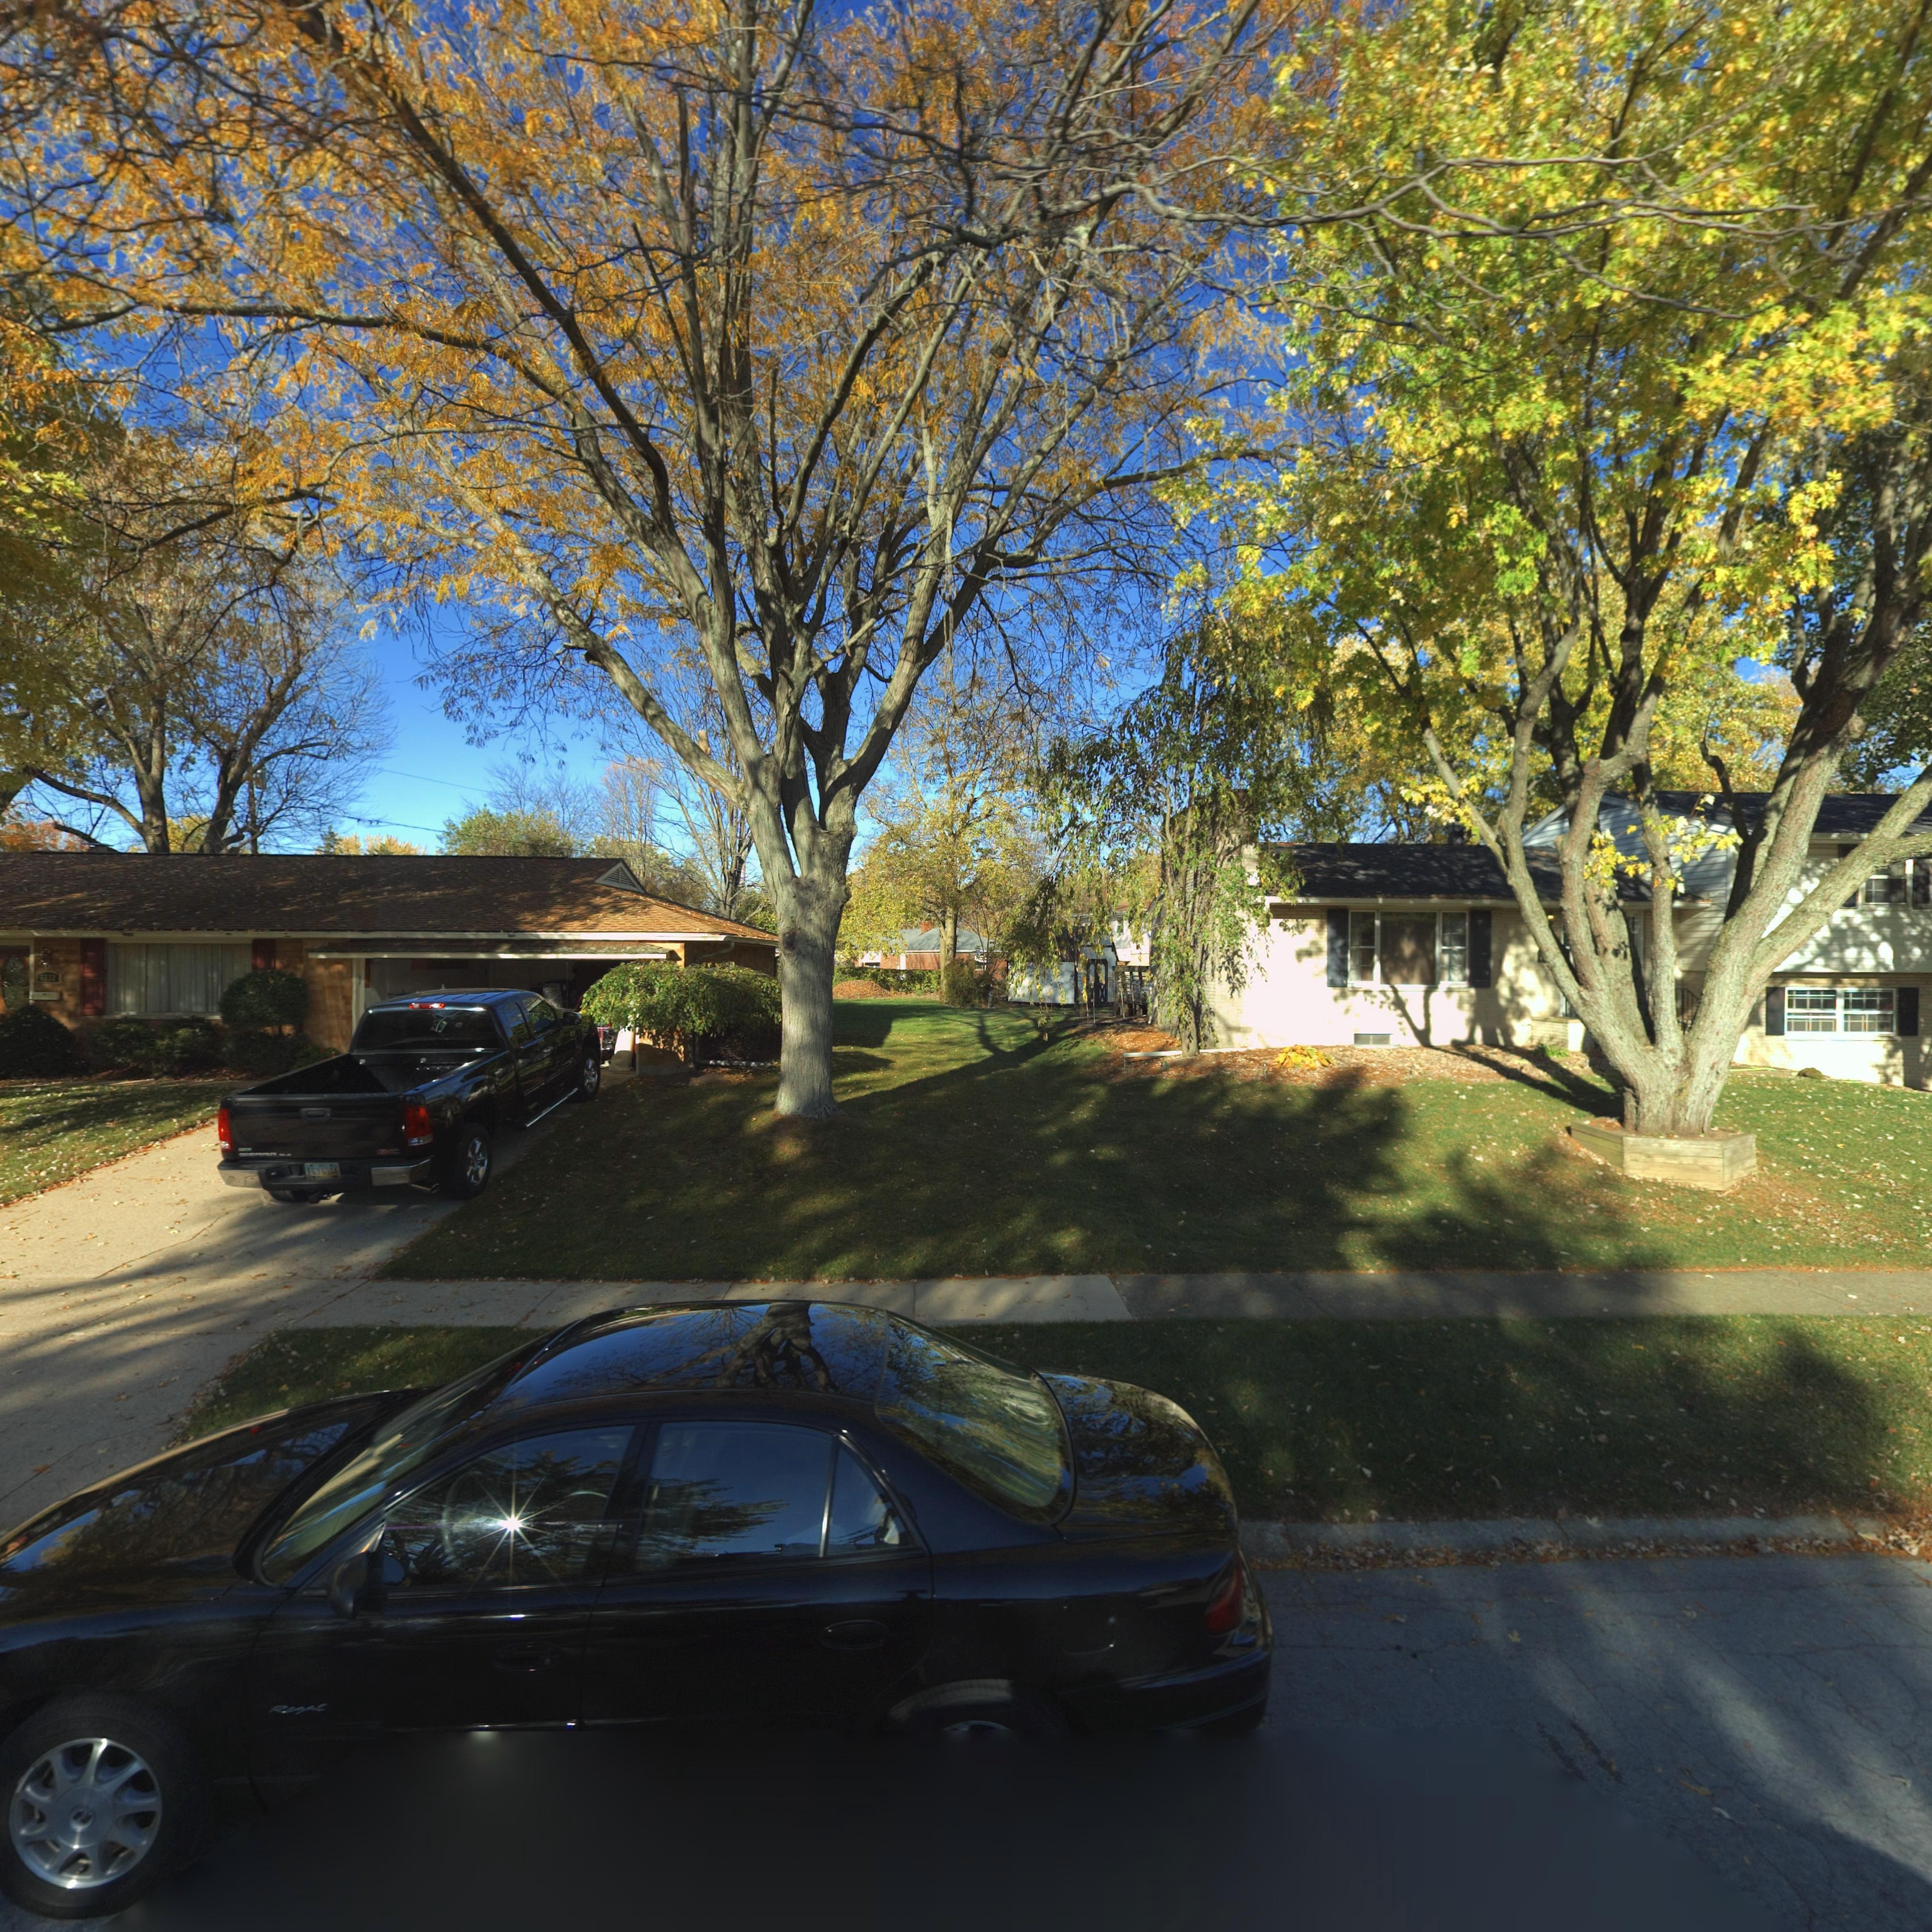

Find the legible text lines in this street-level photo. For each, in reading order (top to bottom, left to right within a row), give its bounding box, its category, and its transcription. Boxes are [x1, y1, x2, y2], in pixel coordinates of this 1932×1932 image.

[39, 974, 56, 982] StreetNumber: 6*52